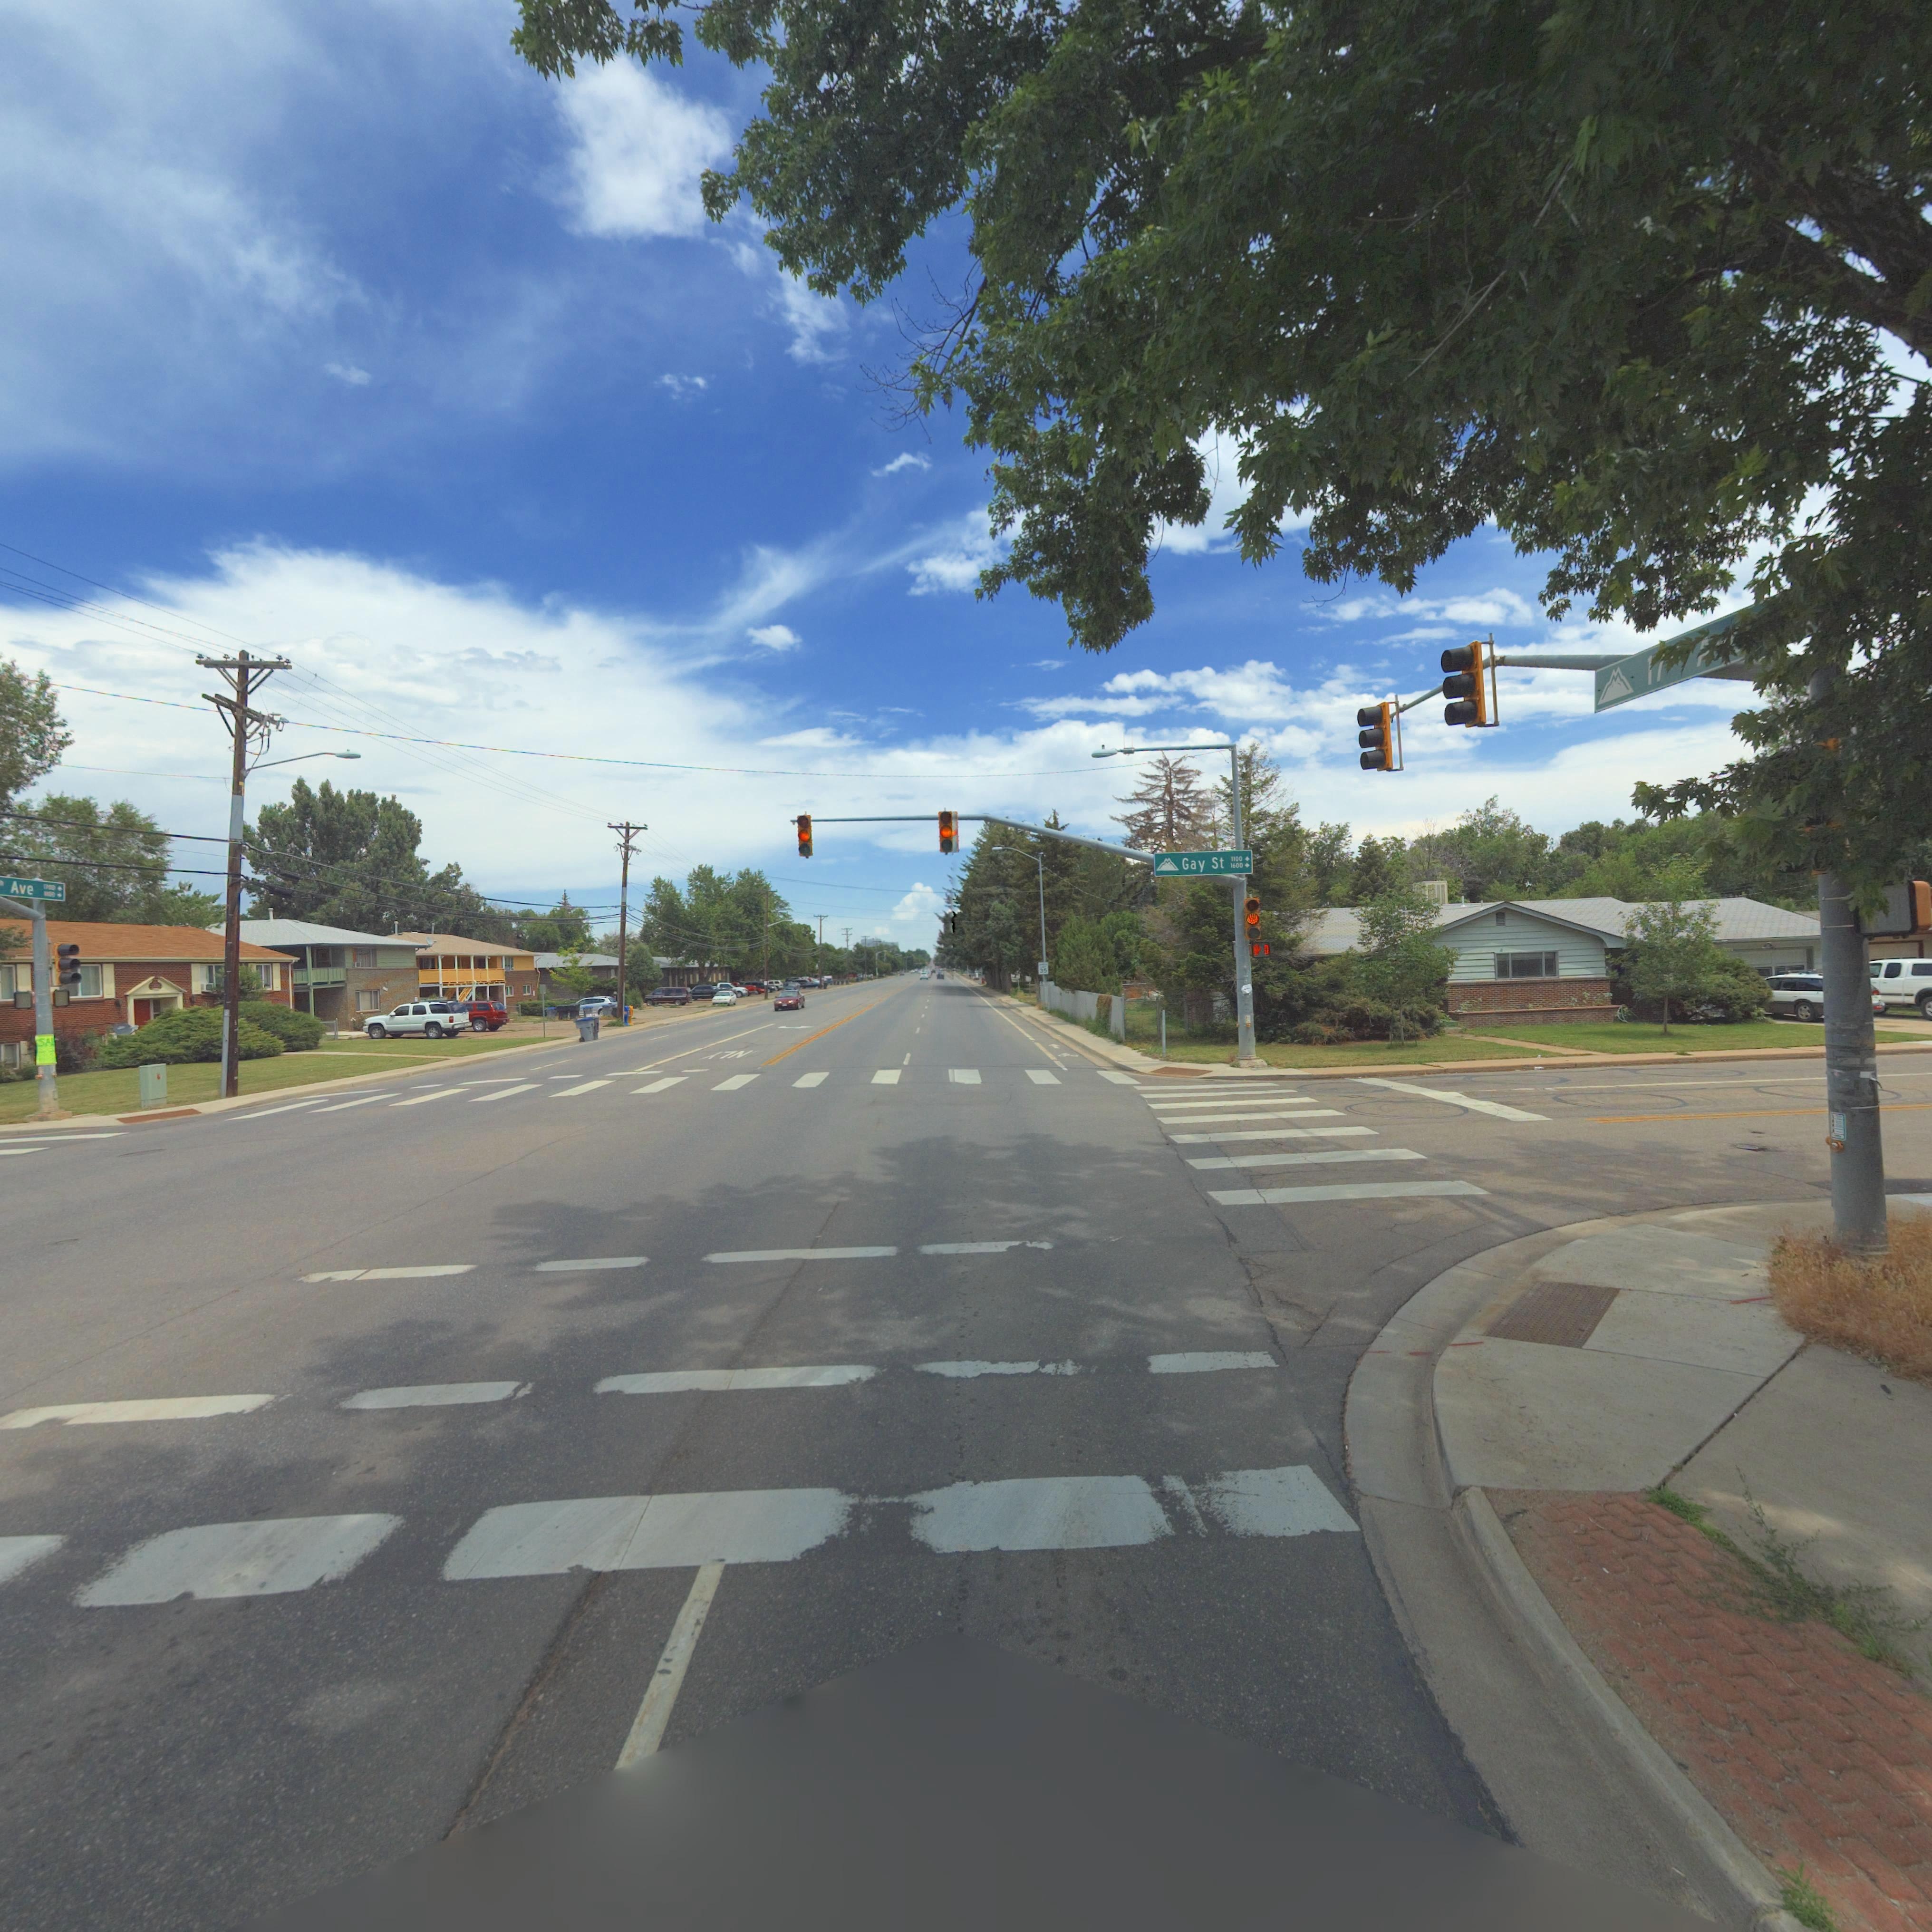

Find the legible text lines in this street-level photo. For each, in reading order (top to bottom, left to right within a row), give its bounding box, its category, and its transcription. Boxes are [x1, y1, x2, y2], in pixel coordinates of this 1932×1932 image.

[1644, 617, 1745, 687] StreetName: 1*** ***
[1230, 855, 1243, 861] StreetNumberRange: 1100
[1181, 857, 1226, 873] StreetName: Gay St
[1229, 862, 1251, 869] StreetNumberRange: 1600->
[9, 879, 34, 896] StreetName: Ave
[43, 883, 56, 890] StreetNumberRange: 1300
[43, 890, 56, 898] StreetNumberRange: ***0